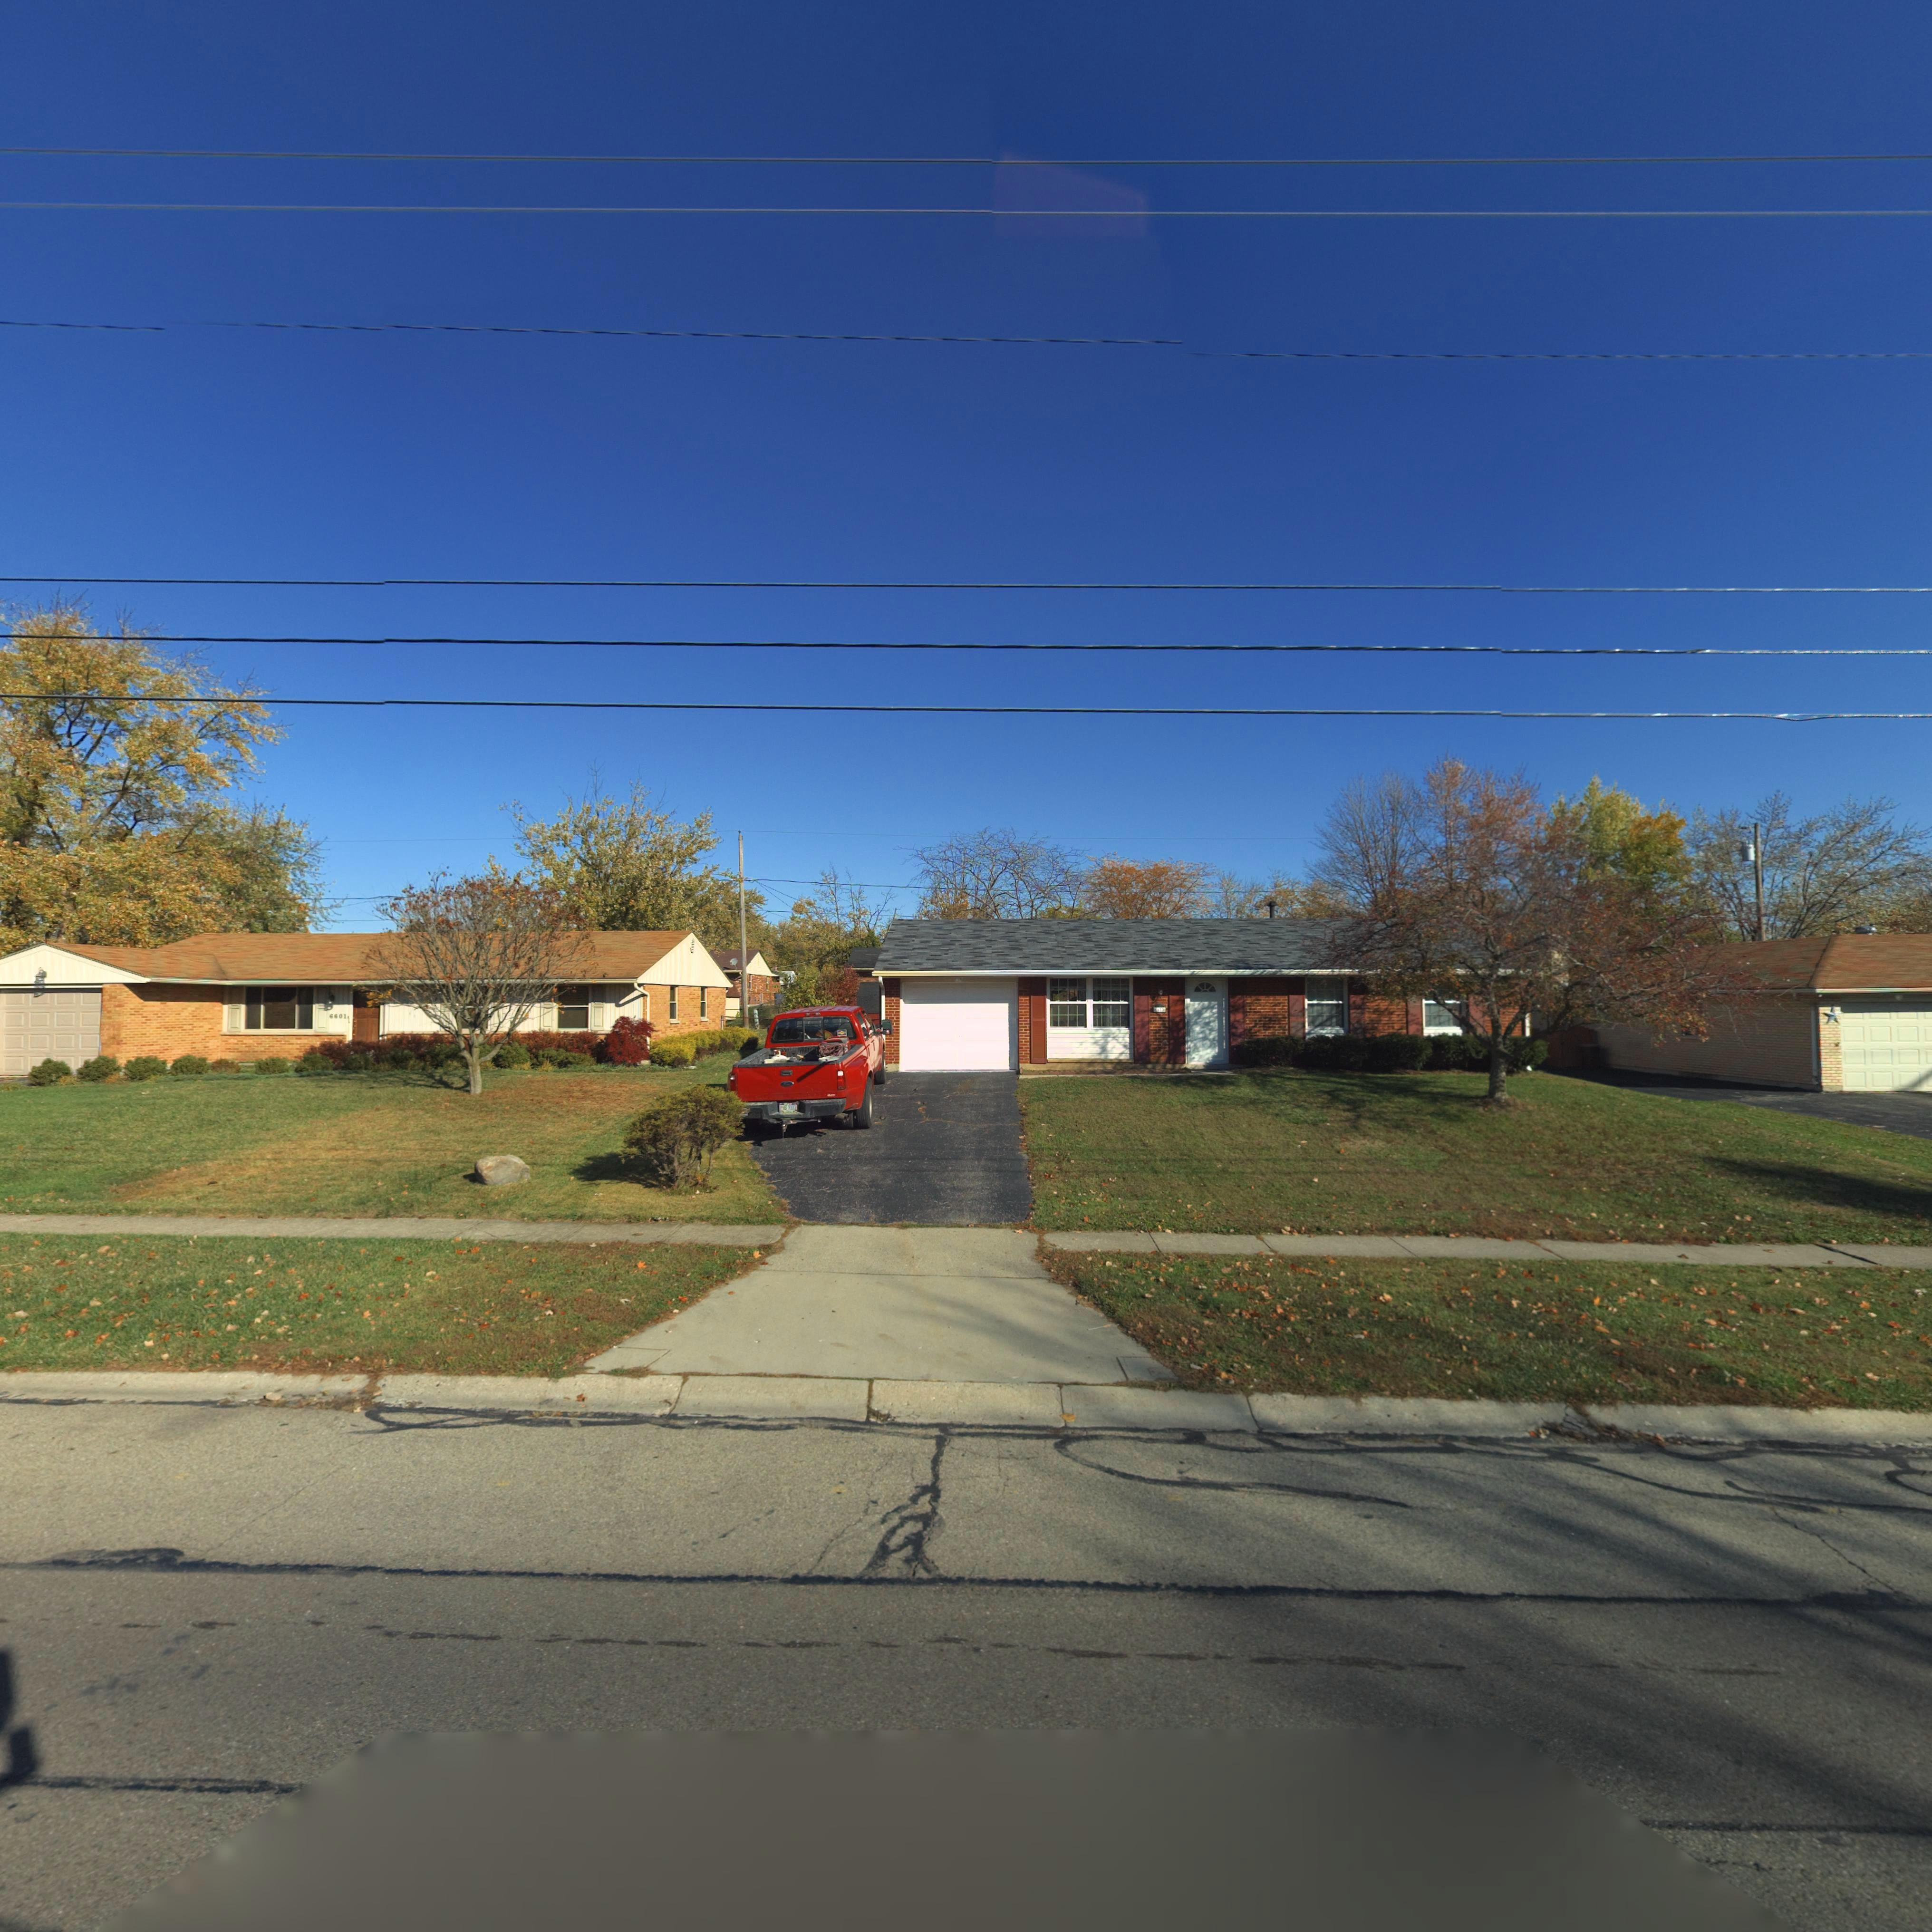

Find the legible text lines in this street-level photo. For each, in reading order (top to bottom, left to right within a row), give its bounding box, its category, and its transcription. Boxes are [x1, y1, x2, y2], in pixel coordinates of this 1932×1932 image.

[1153, 1007, 1166, 1013] StreetNumber: **1*
[328, 1013, 347, 1020] StreetNumber: 6601